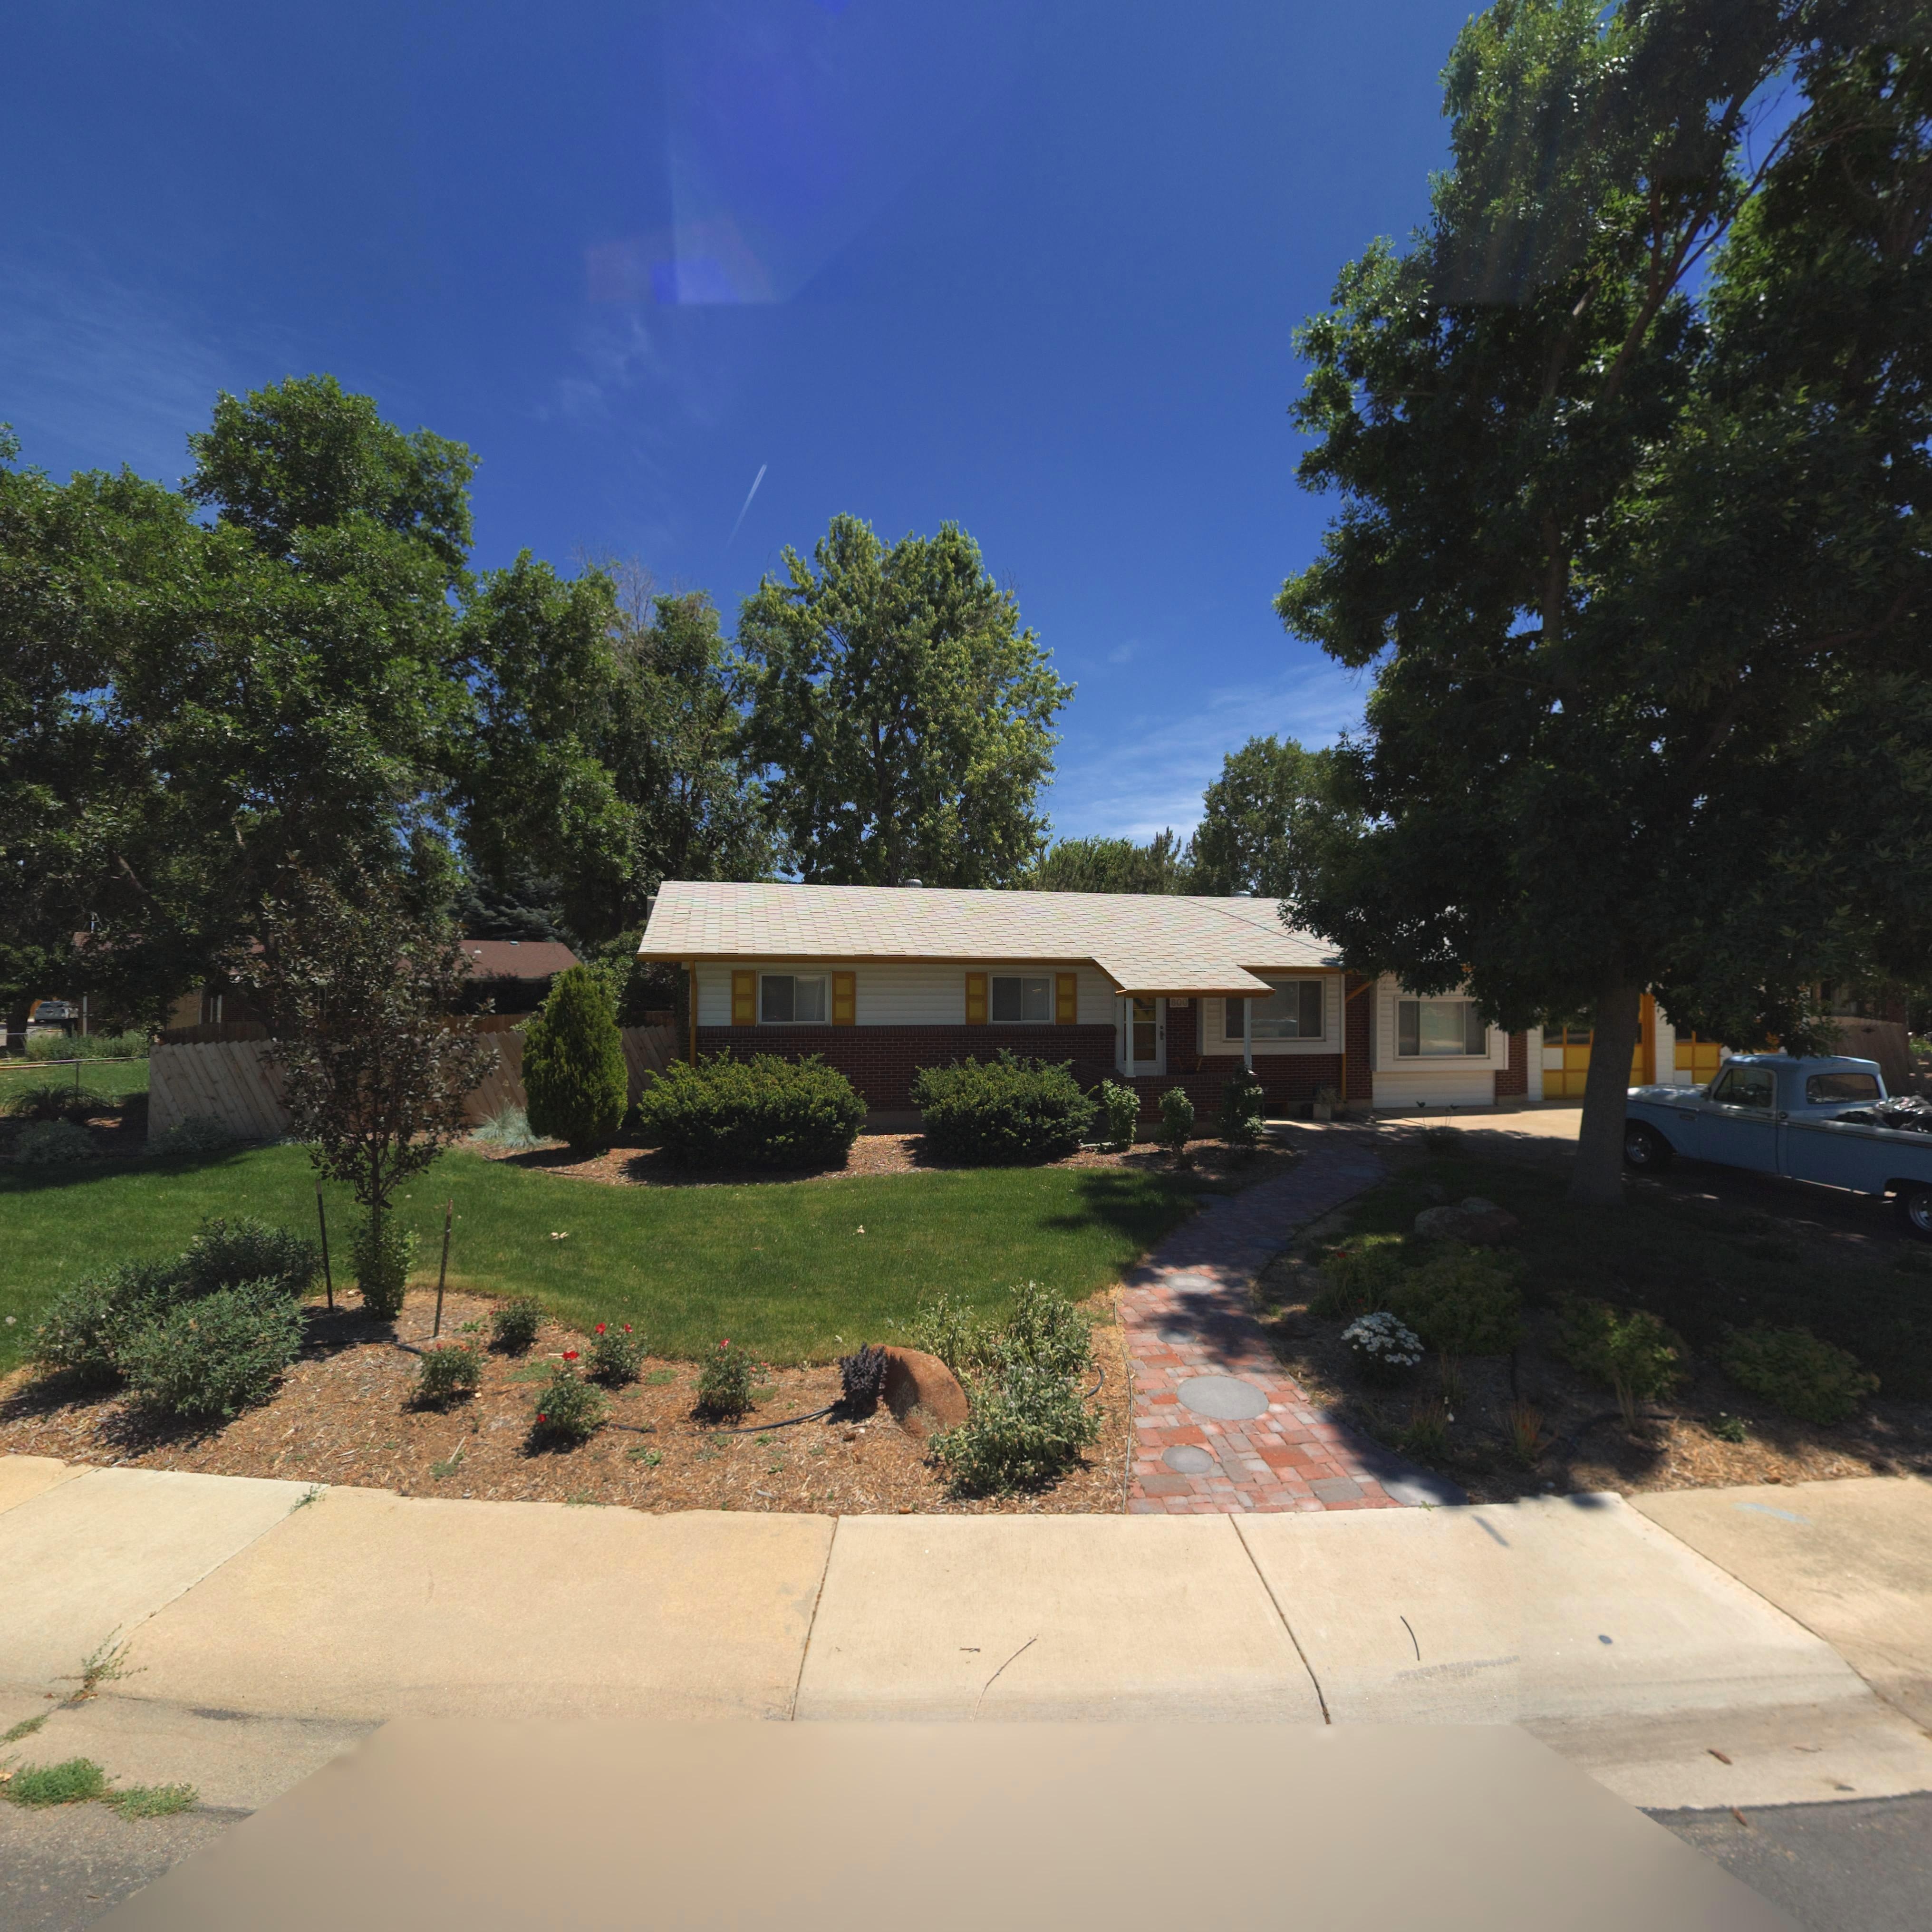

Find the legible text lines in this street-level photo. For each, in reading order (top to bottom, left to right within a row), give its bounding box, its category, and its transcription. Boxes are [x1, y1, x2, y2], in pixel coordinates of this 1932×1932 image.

[1171, 998, 1187, 1006] StreetNumber: 800